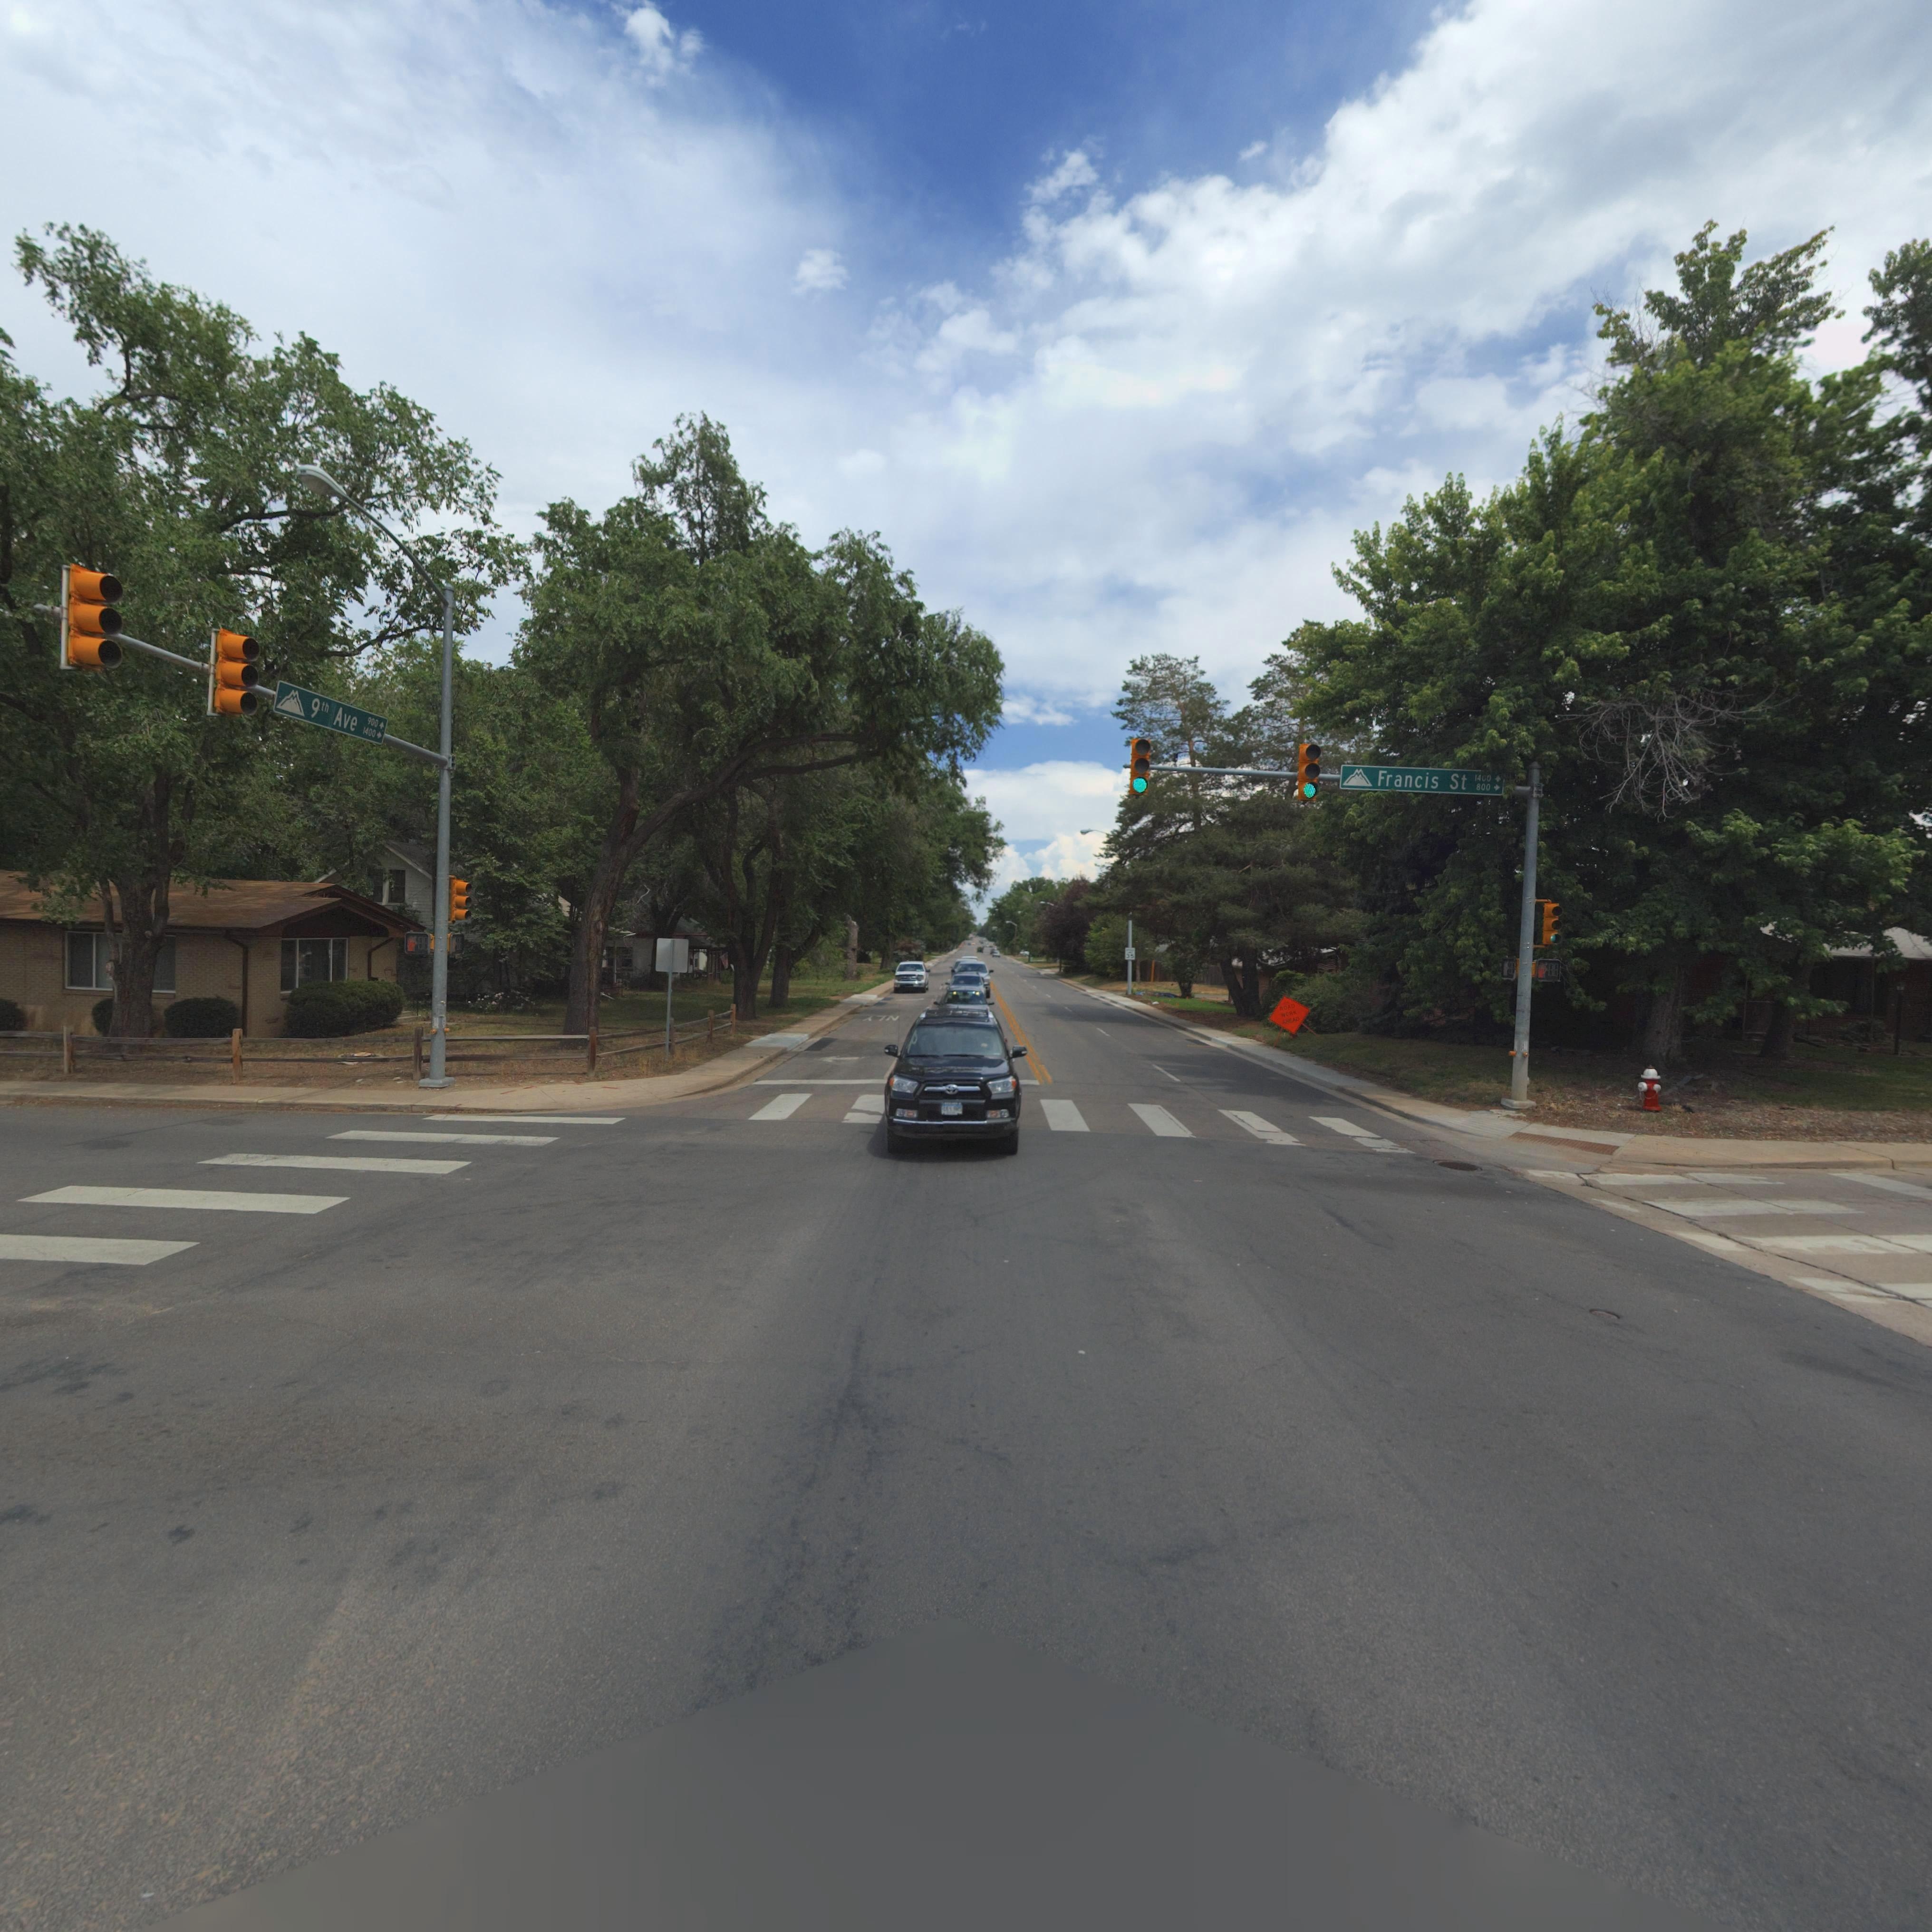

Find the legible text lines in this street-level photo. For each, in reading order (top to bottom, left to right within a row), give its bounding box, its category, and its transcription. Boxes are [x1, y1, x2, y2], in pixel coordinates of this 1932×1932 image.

[309, 697, 358, 732] StreetName: 9th Ave
[367, 716, 379, 728] StreetNumberRange: 900
[362, 725, 383, 740] StreetNumberRange: 1400 ->
[1377, 770, 1468, 790] StreetName: Francis St
[1475, 774, 1491, 782] StreetNumberRange: 1400
[1476, 782, 1499, 791] StreetNumberRange: 800 ->